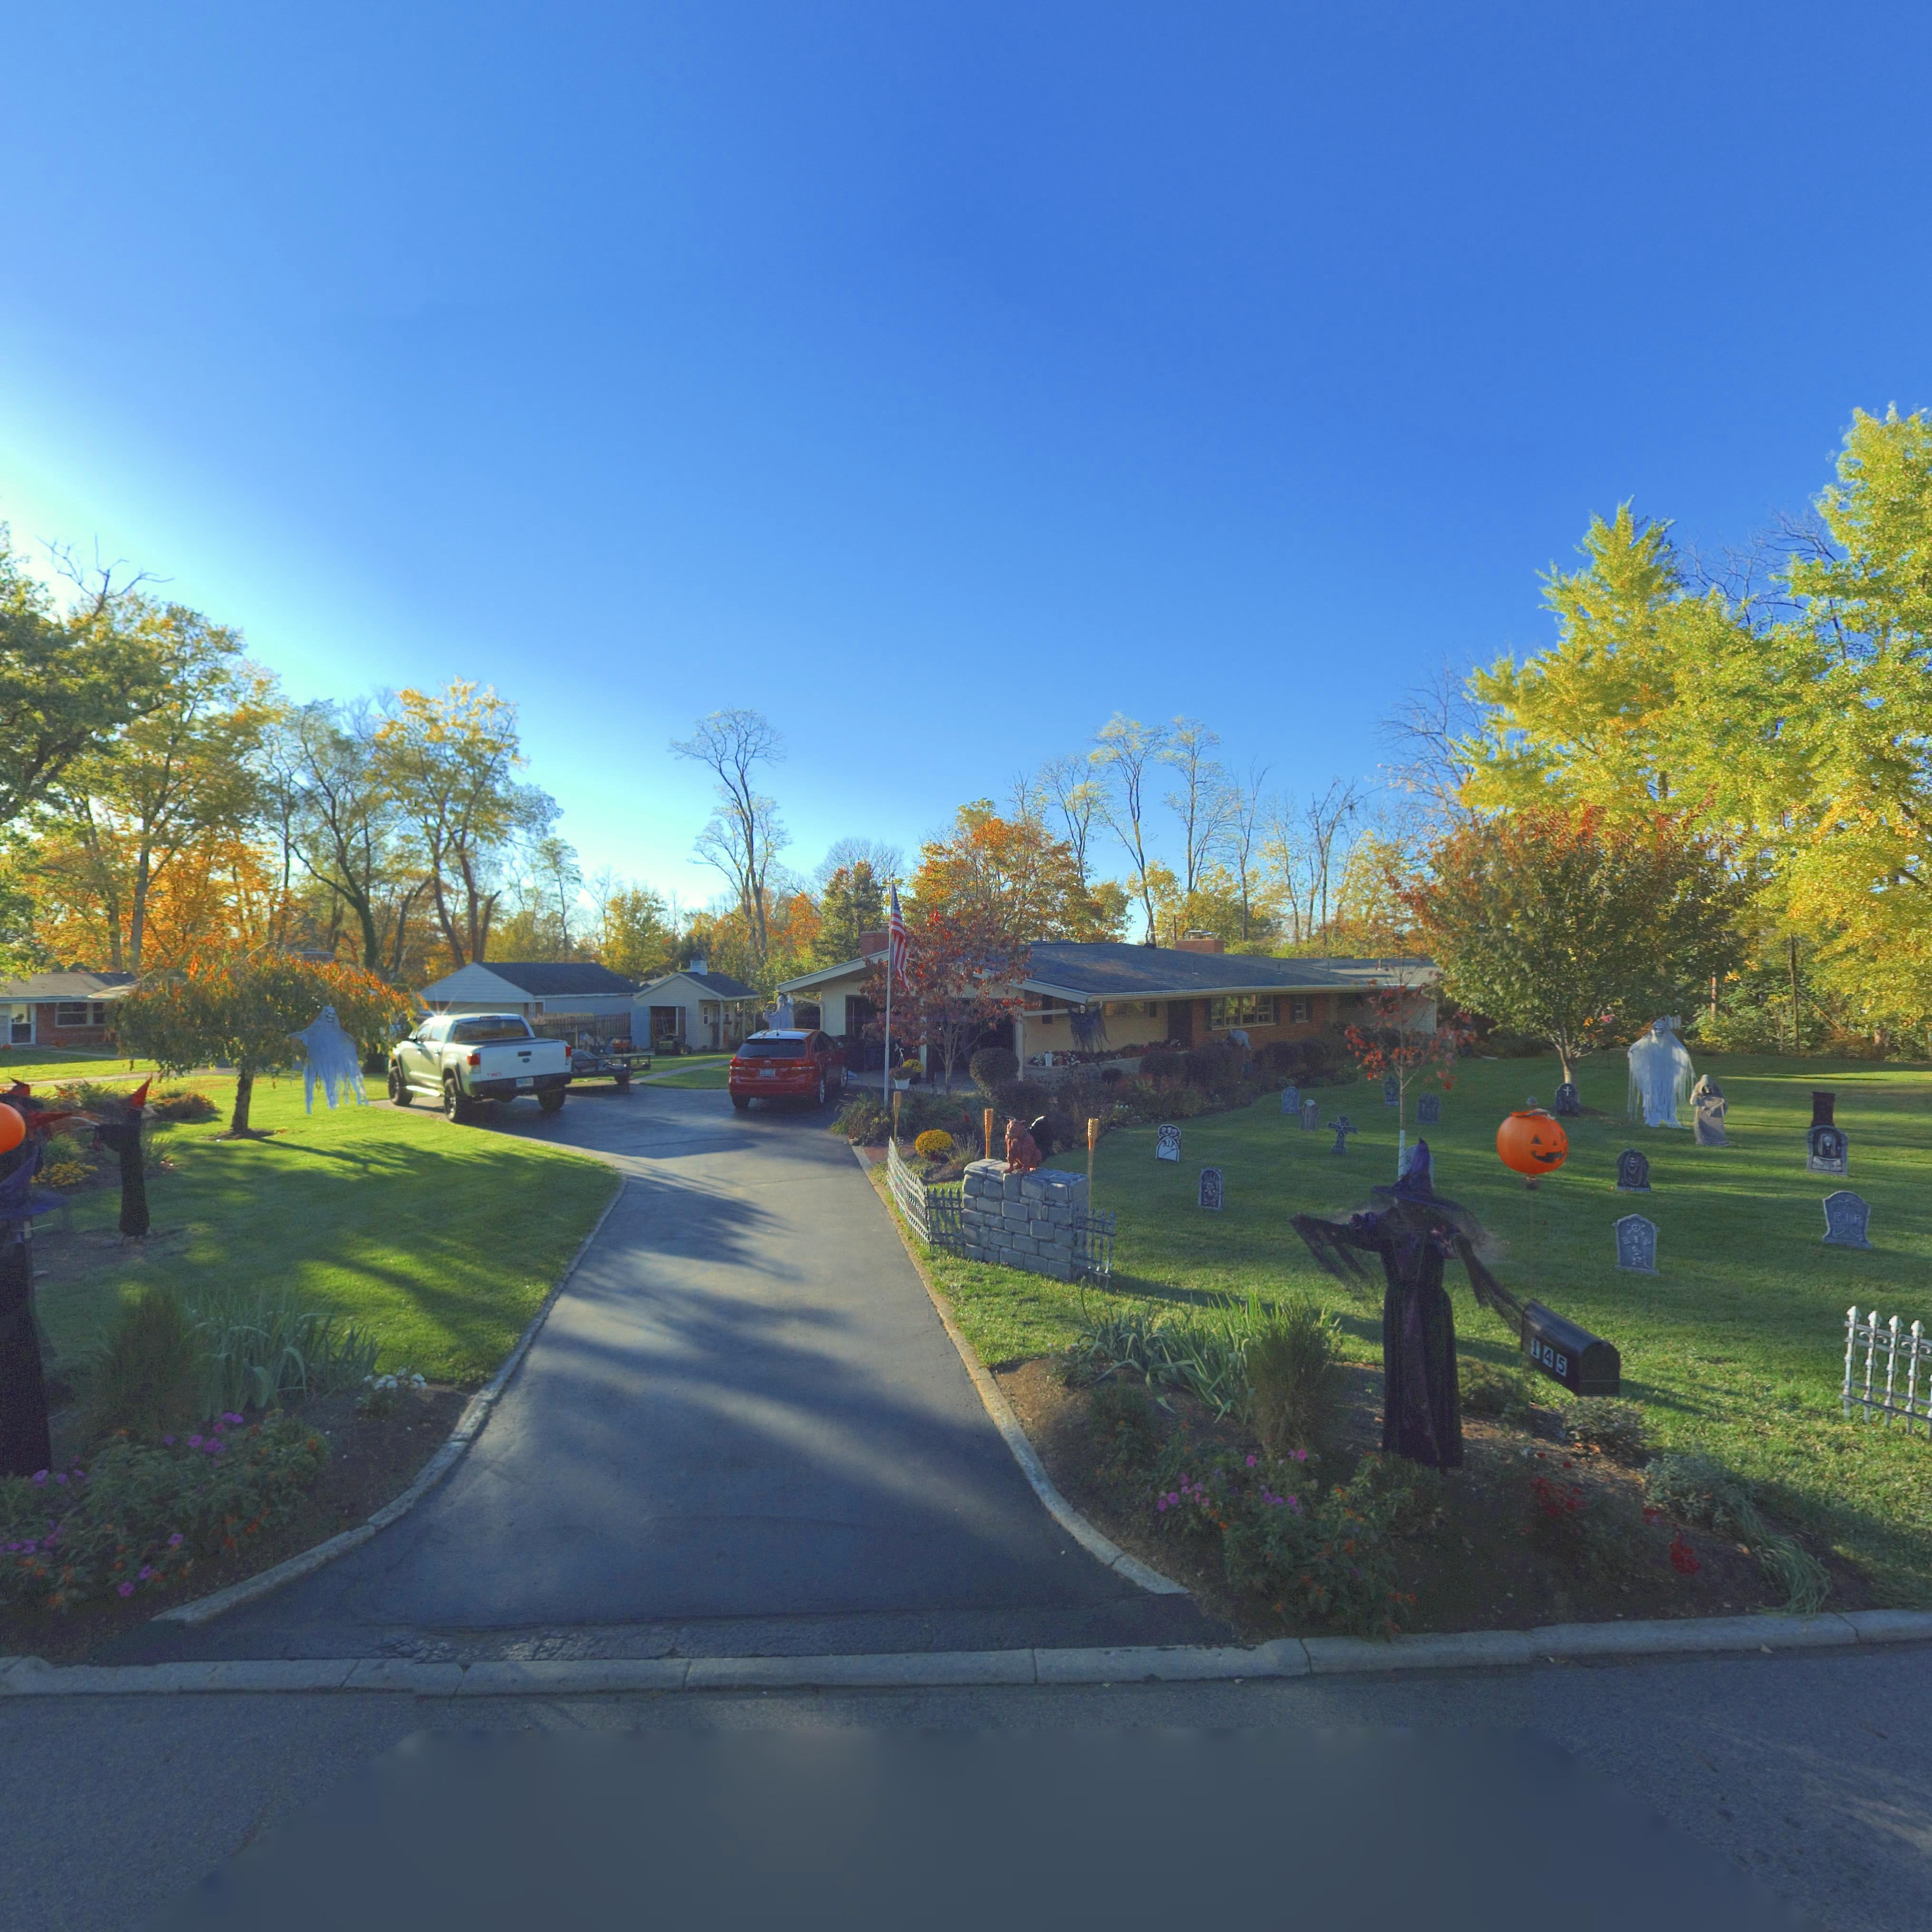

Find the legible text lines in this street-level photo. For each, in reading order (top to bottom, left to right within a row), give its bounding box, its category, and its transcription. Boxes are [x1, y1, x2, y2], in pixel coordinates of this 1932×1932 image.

[1162, 1140, 1175, 1149] None: RIP
[1203, 1170, 1219, 1181] None: RIP
[1832, 1210, 1864, 1226] None: RIP
[1619, 1235, 1652, 1246] None: RIP
[1532, 1338, 1567, 1375] StreetNumber: 145